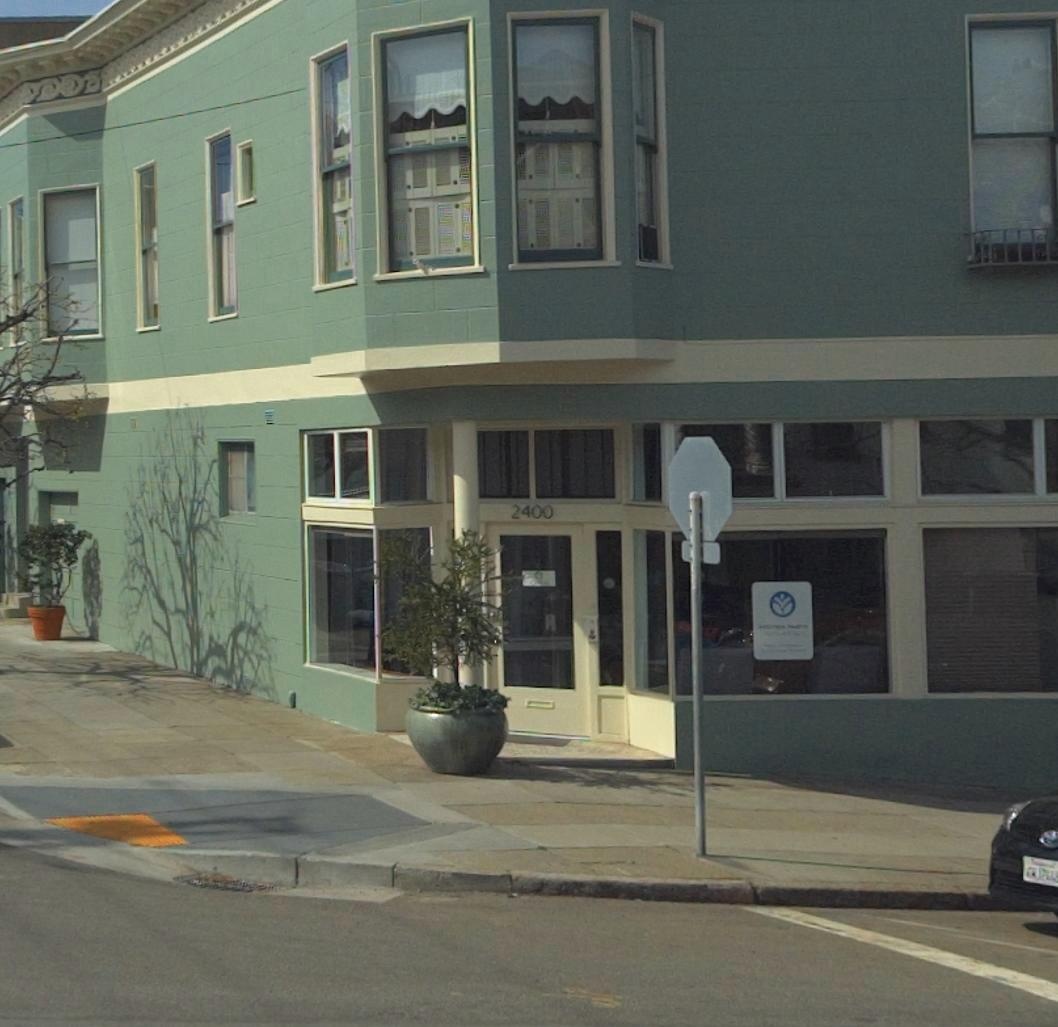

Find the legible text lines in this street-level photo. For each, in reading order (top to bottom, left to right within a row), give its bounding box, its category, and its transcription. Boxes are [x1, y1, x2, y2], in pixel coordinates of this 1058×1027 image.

[508, 502, 556, 522] StreetNumber: 2400